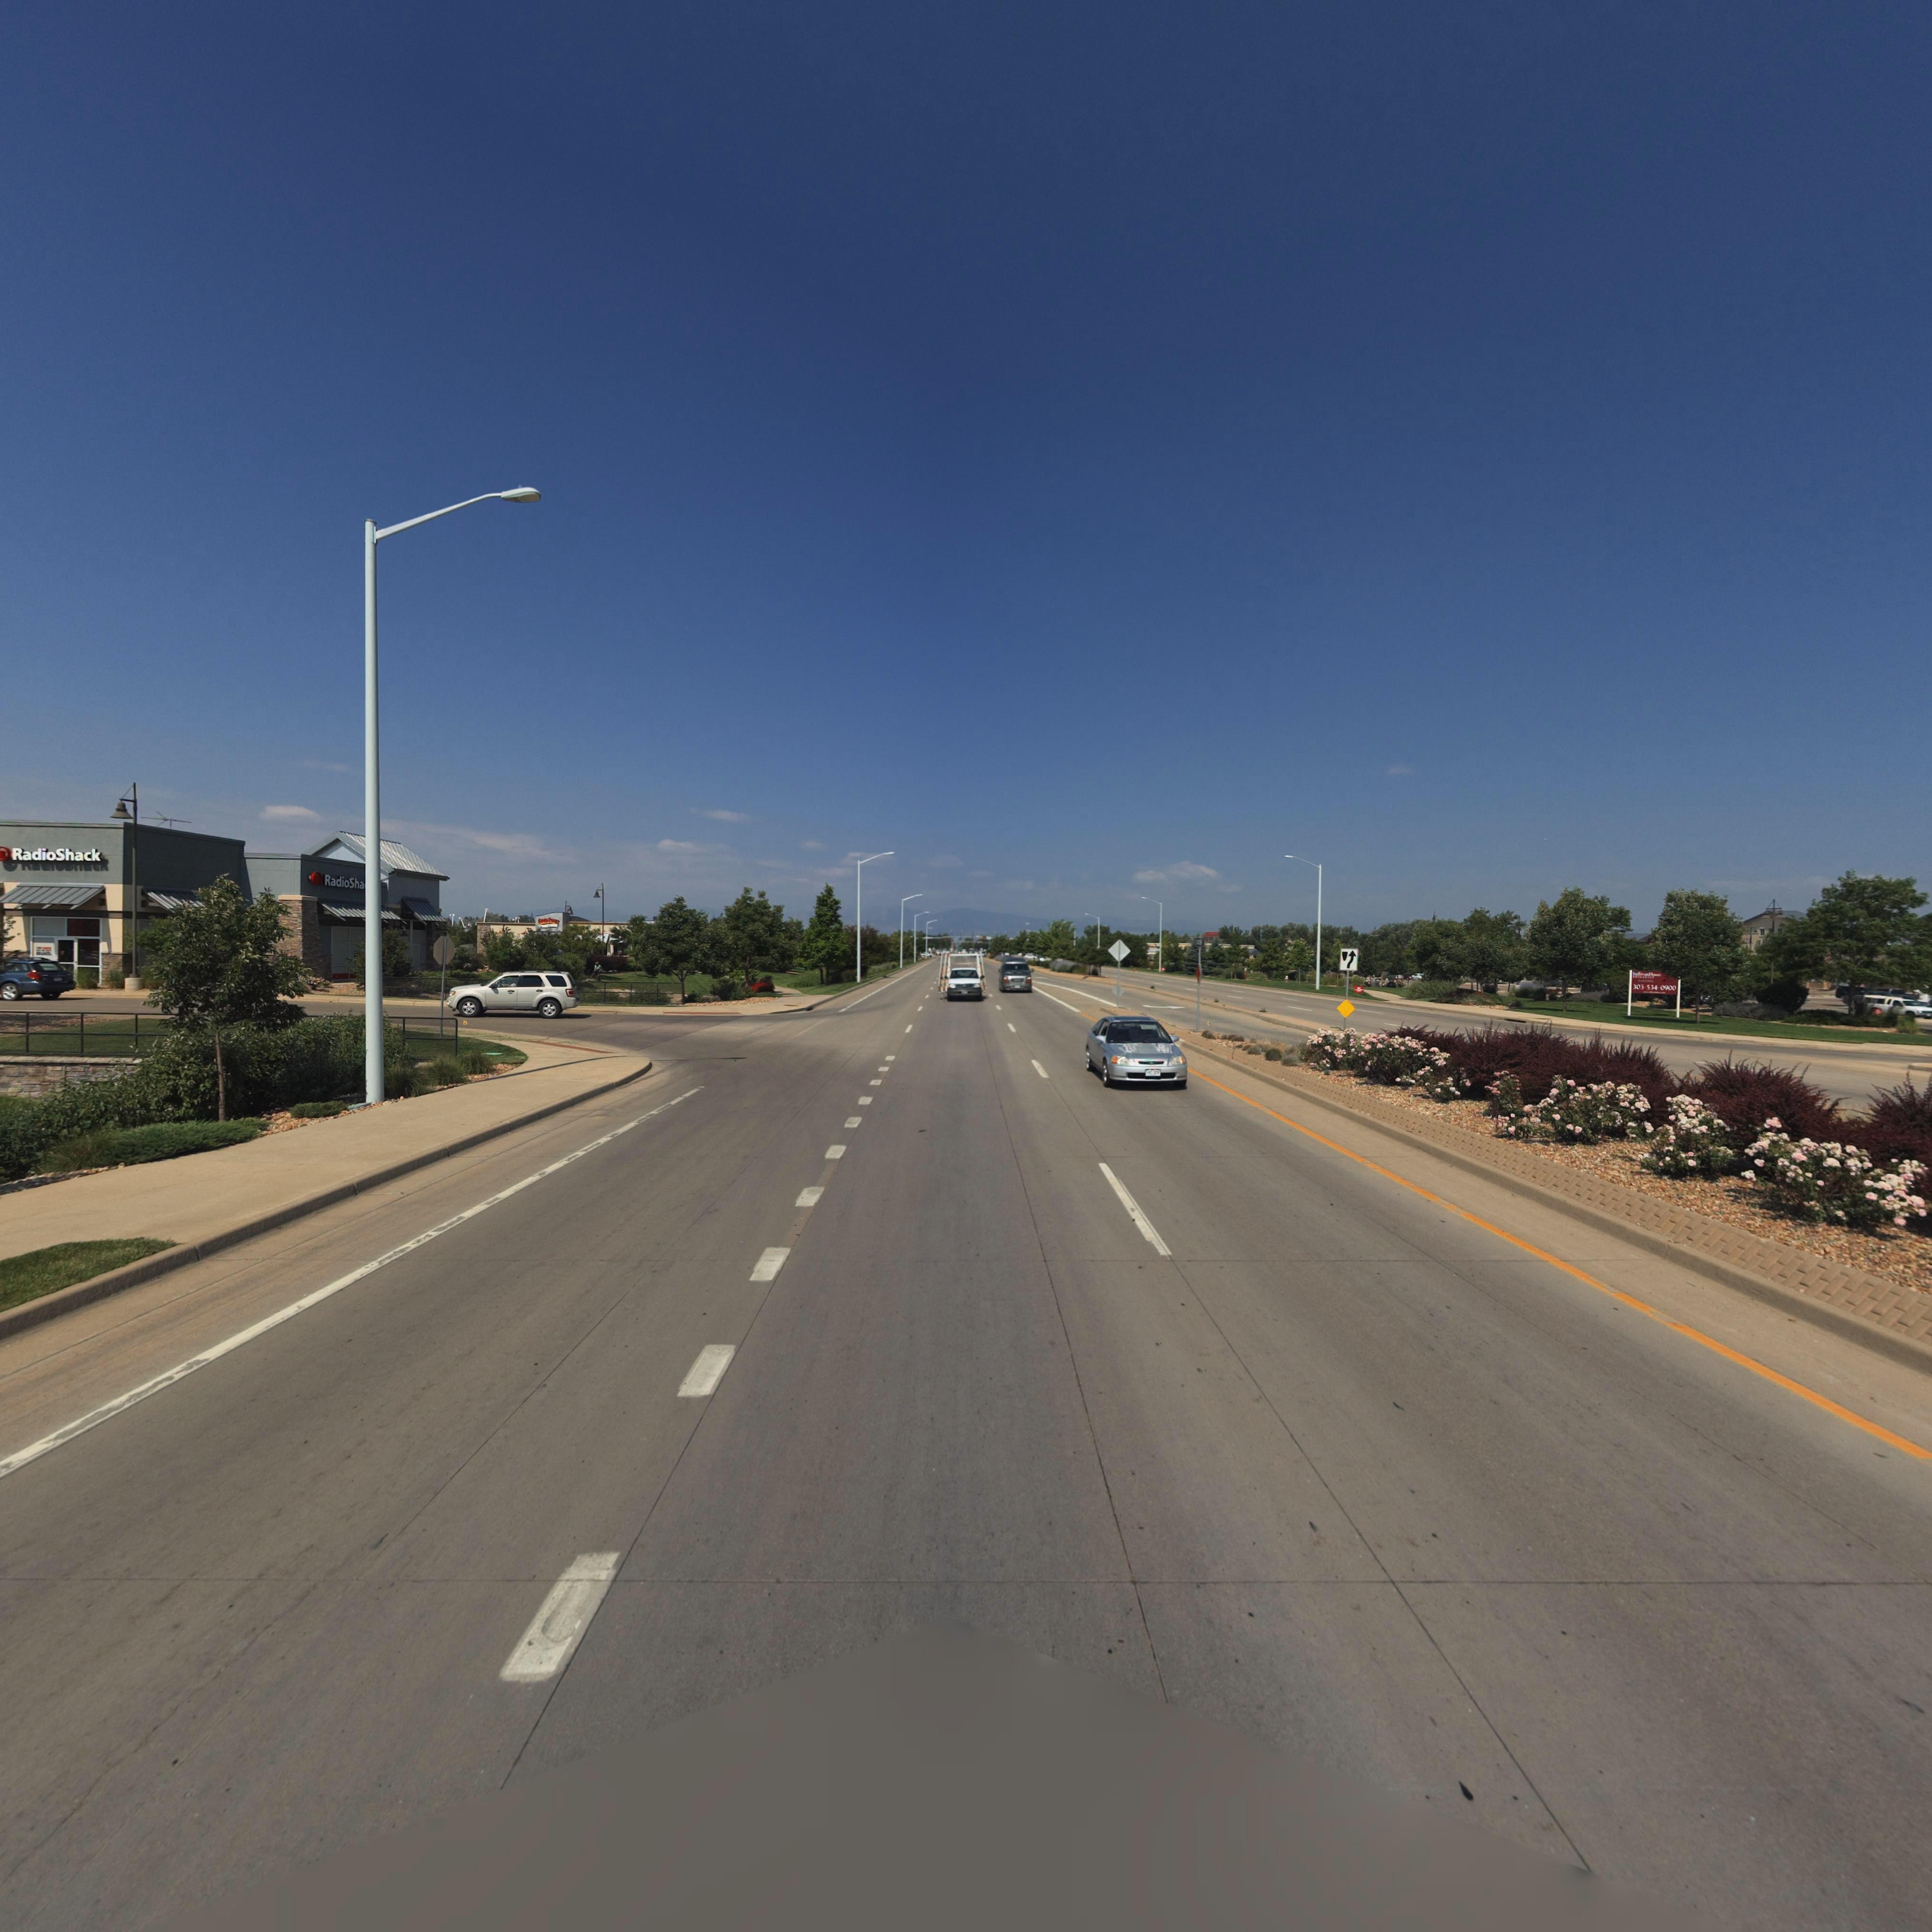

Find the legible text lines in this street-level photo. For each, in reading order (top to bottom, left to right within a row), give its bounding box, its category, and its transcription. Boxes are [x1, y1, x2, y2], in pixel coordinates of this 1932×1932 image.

[12, 847, 102, 862] BusinessName: RadioShack
[324, 874, 364, 889] BusinessName: RadioSha
[538, 917, 560, 925] BusinessName: GOODt***S